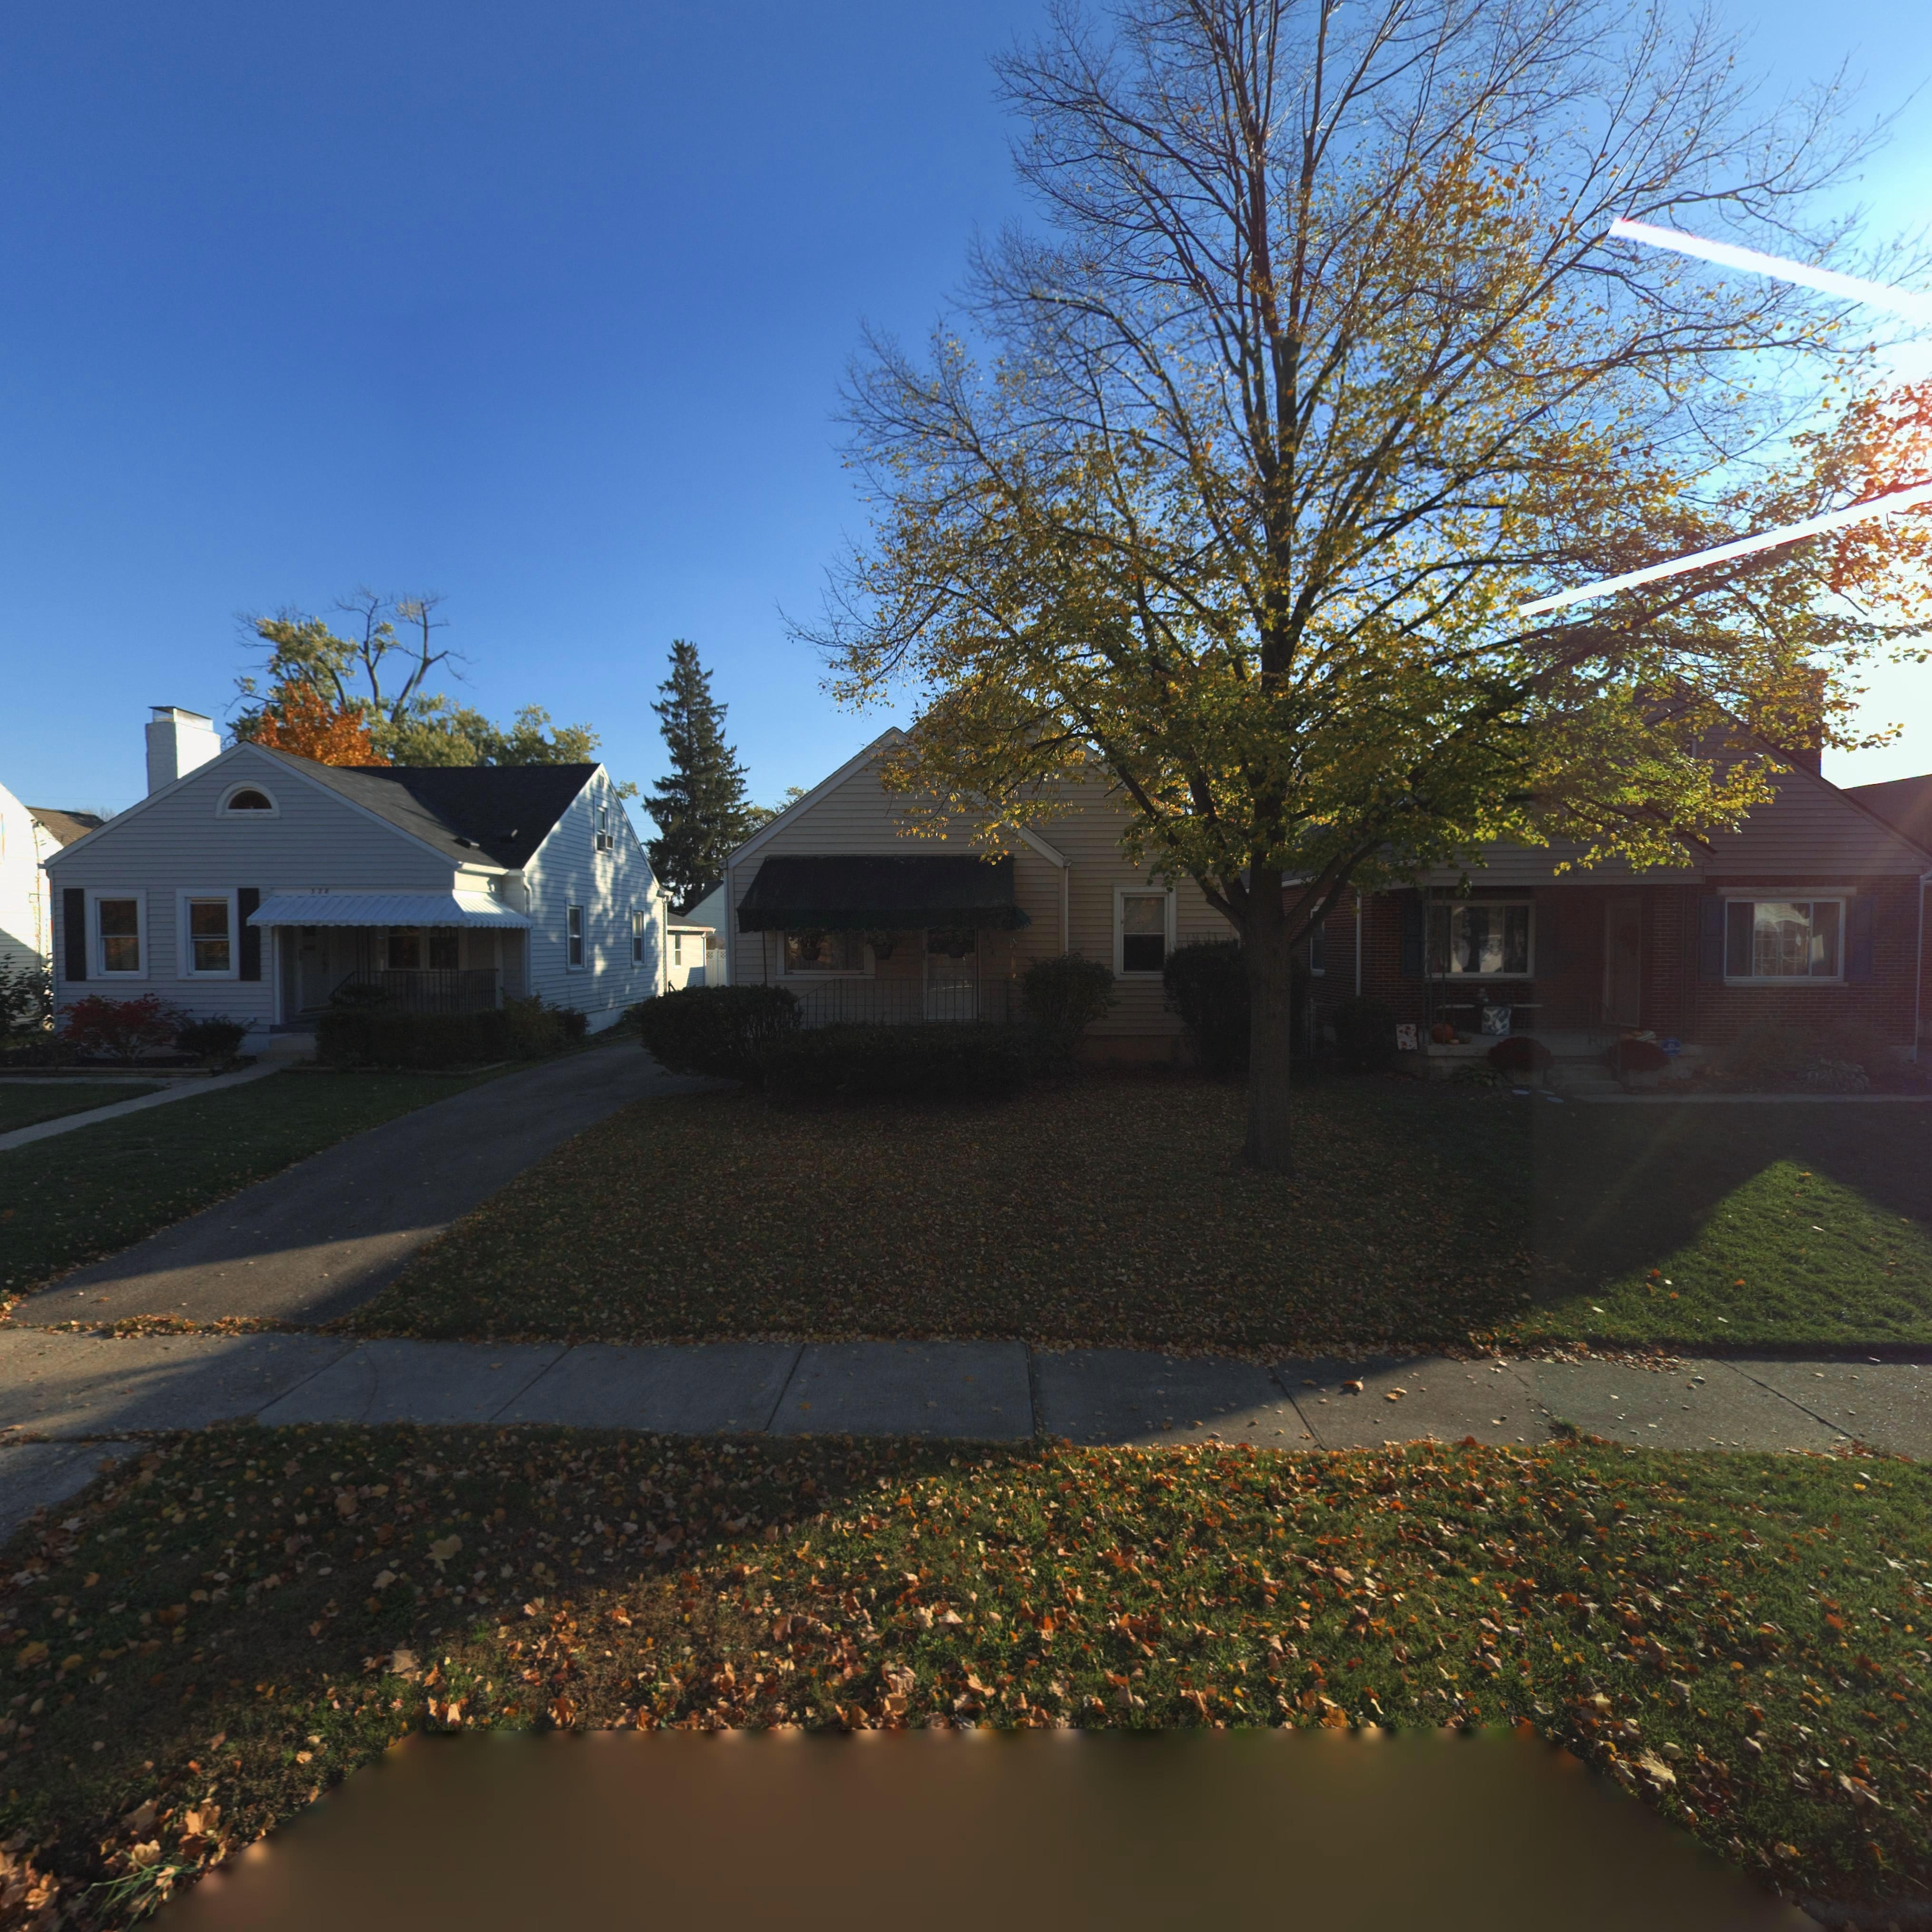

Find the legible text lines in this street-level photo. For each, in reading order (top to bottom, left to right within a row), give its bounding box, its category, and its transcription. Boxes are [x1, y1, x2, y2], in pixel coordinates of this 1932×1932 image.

[1554, 867, 1580, 877] StreetNumber: **0
[310, 888, 330, 894] StreetNumber: 328
[985, 932, 995, 956] StreetNumber: 324